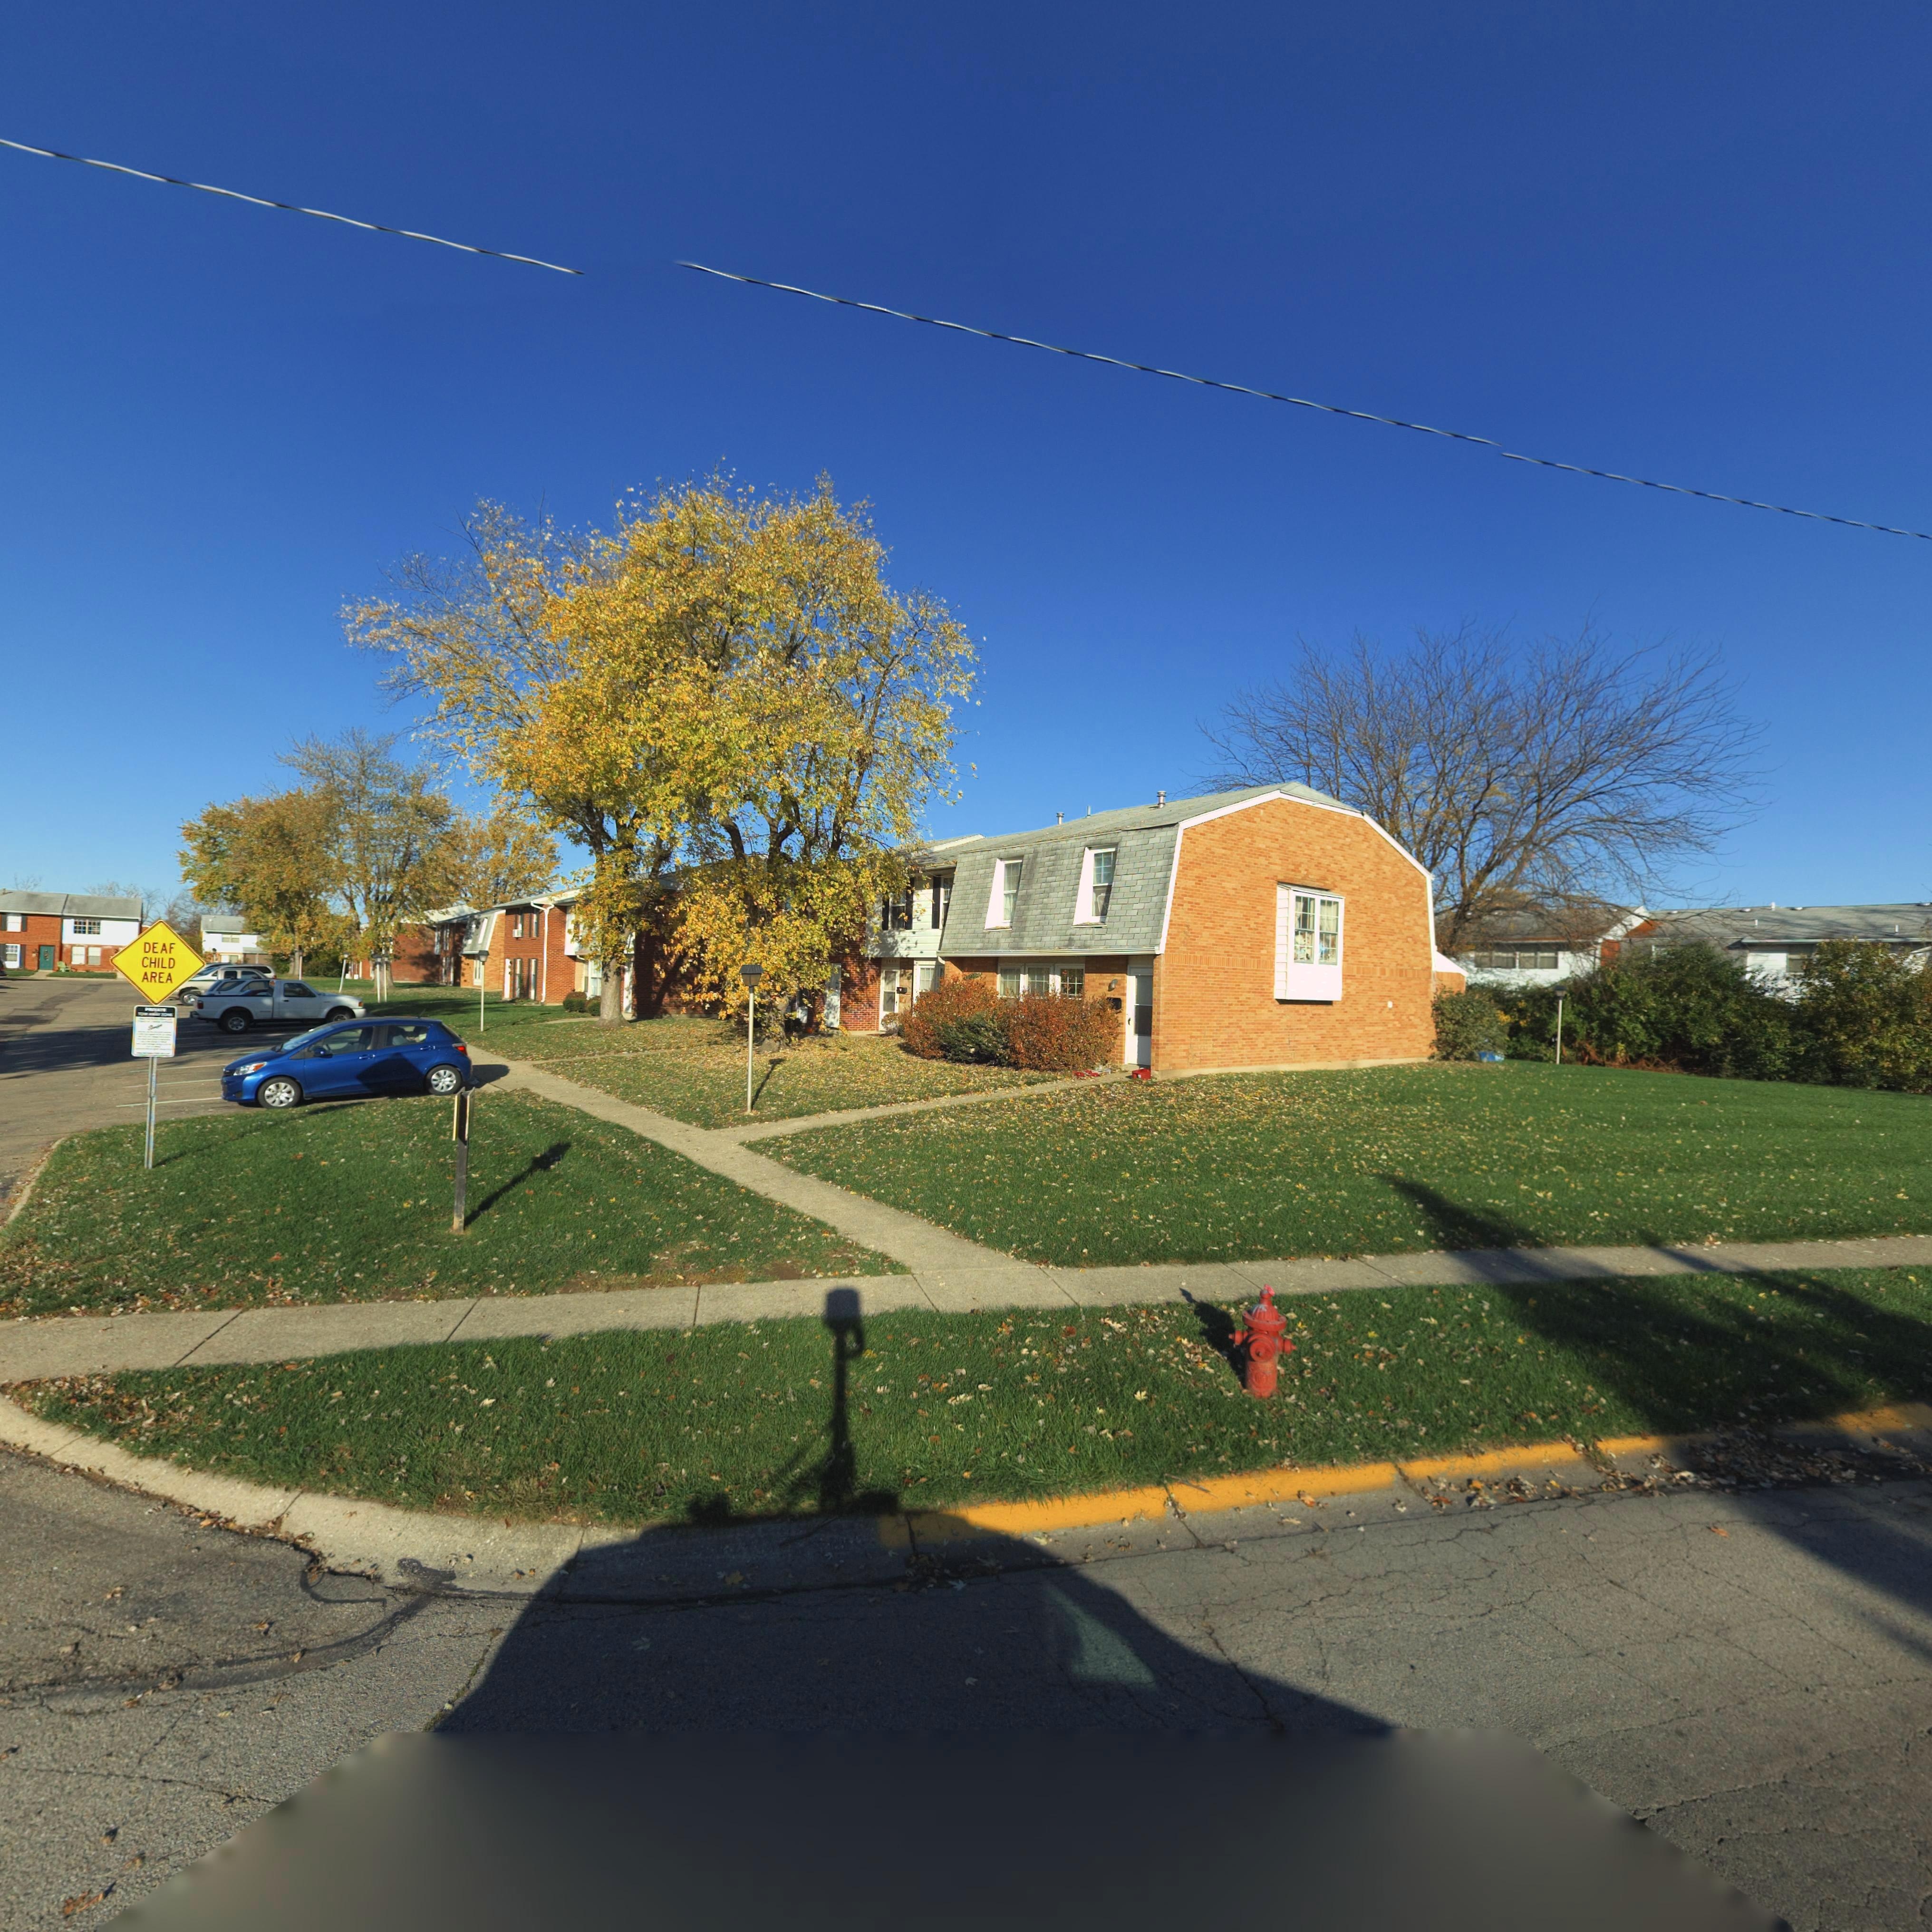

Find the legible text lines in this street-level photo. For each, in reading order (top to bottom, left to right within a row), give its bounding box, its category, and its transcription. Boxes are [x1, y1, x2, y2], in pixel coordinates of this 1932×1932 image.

[894, 959, 897, 963] StreetNumber: 7